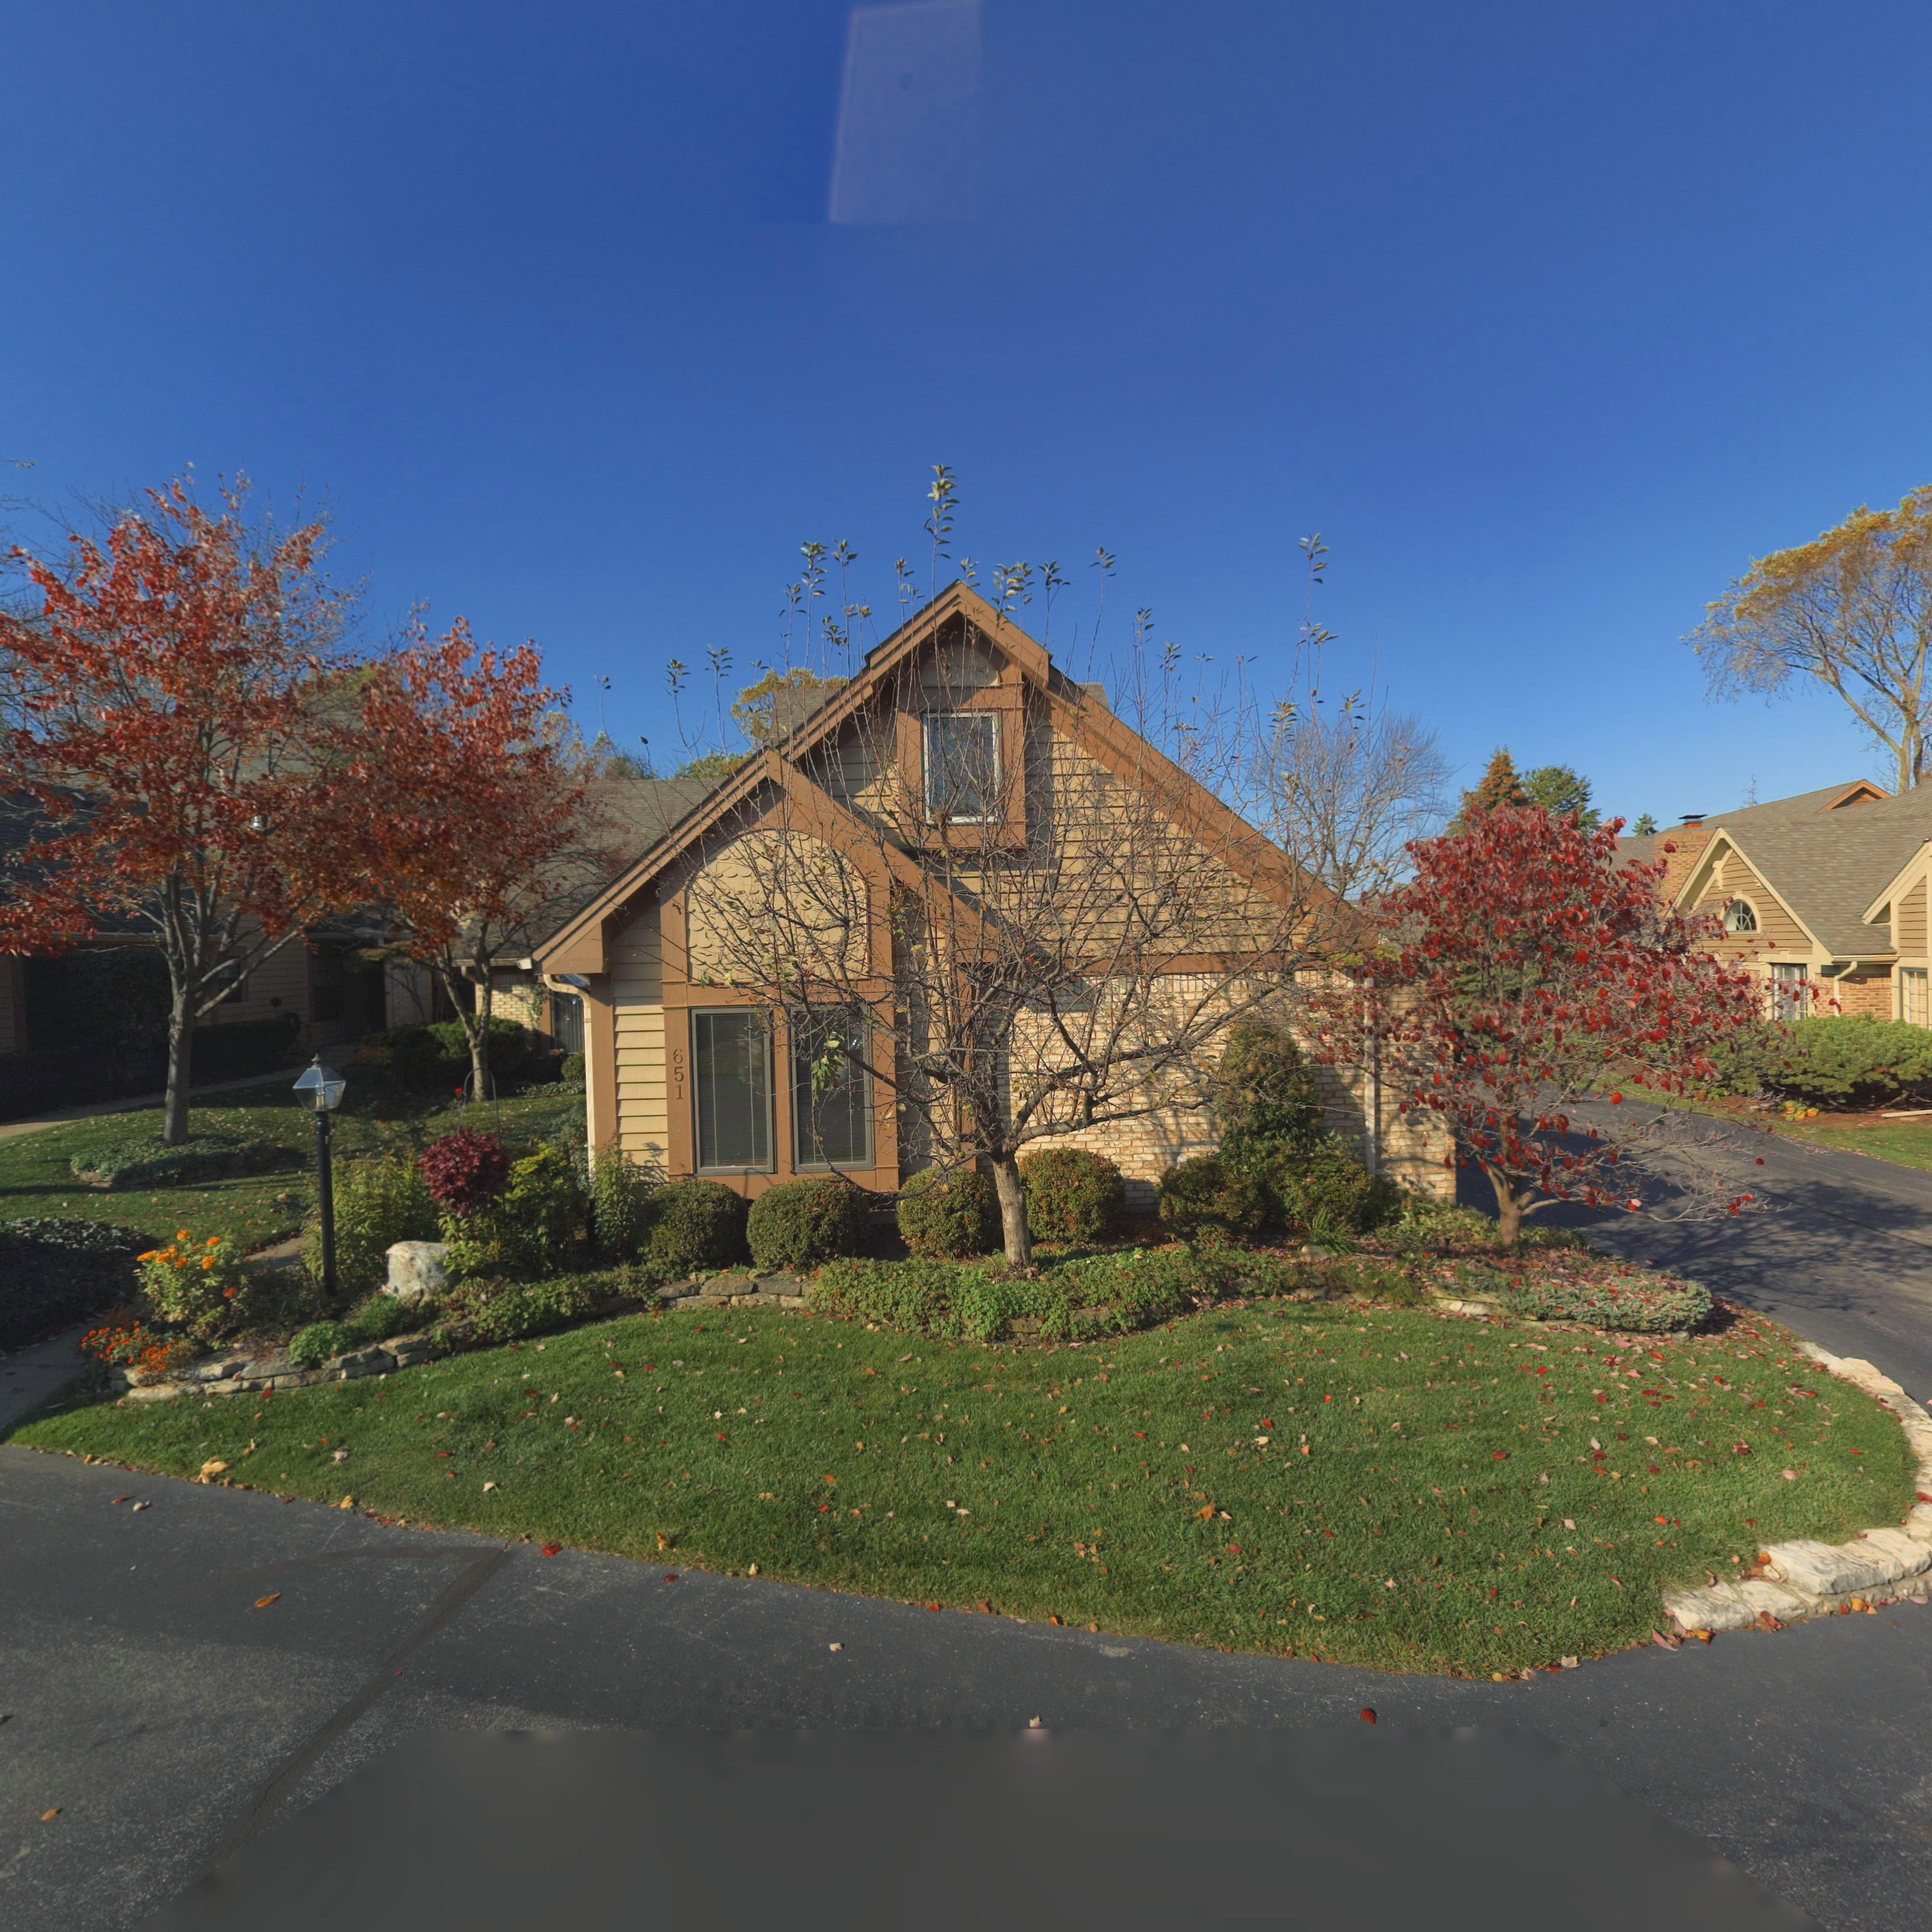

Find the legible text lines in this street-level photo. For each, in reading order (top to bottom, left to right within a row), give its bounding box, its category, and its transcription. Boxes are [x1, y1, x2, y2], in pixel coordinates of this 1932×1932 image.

[672, 1048, 685, 1101] StreetNumber: 651